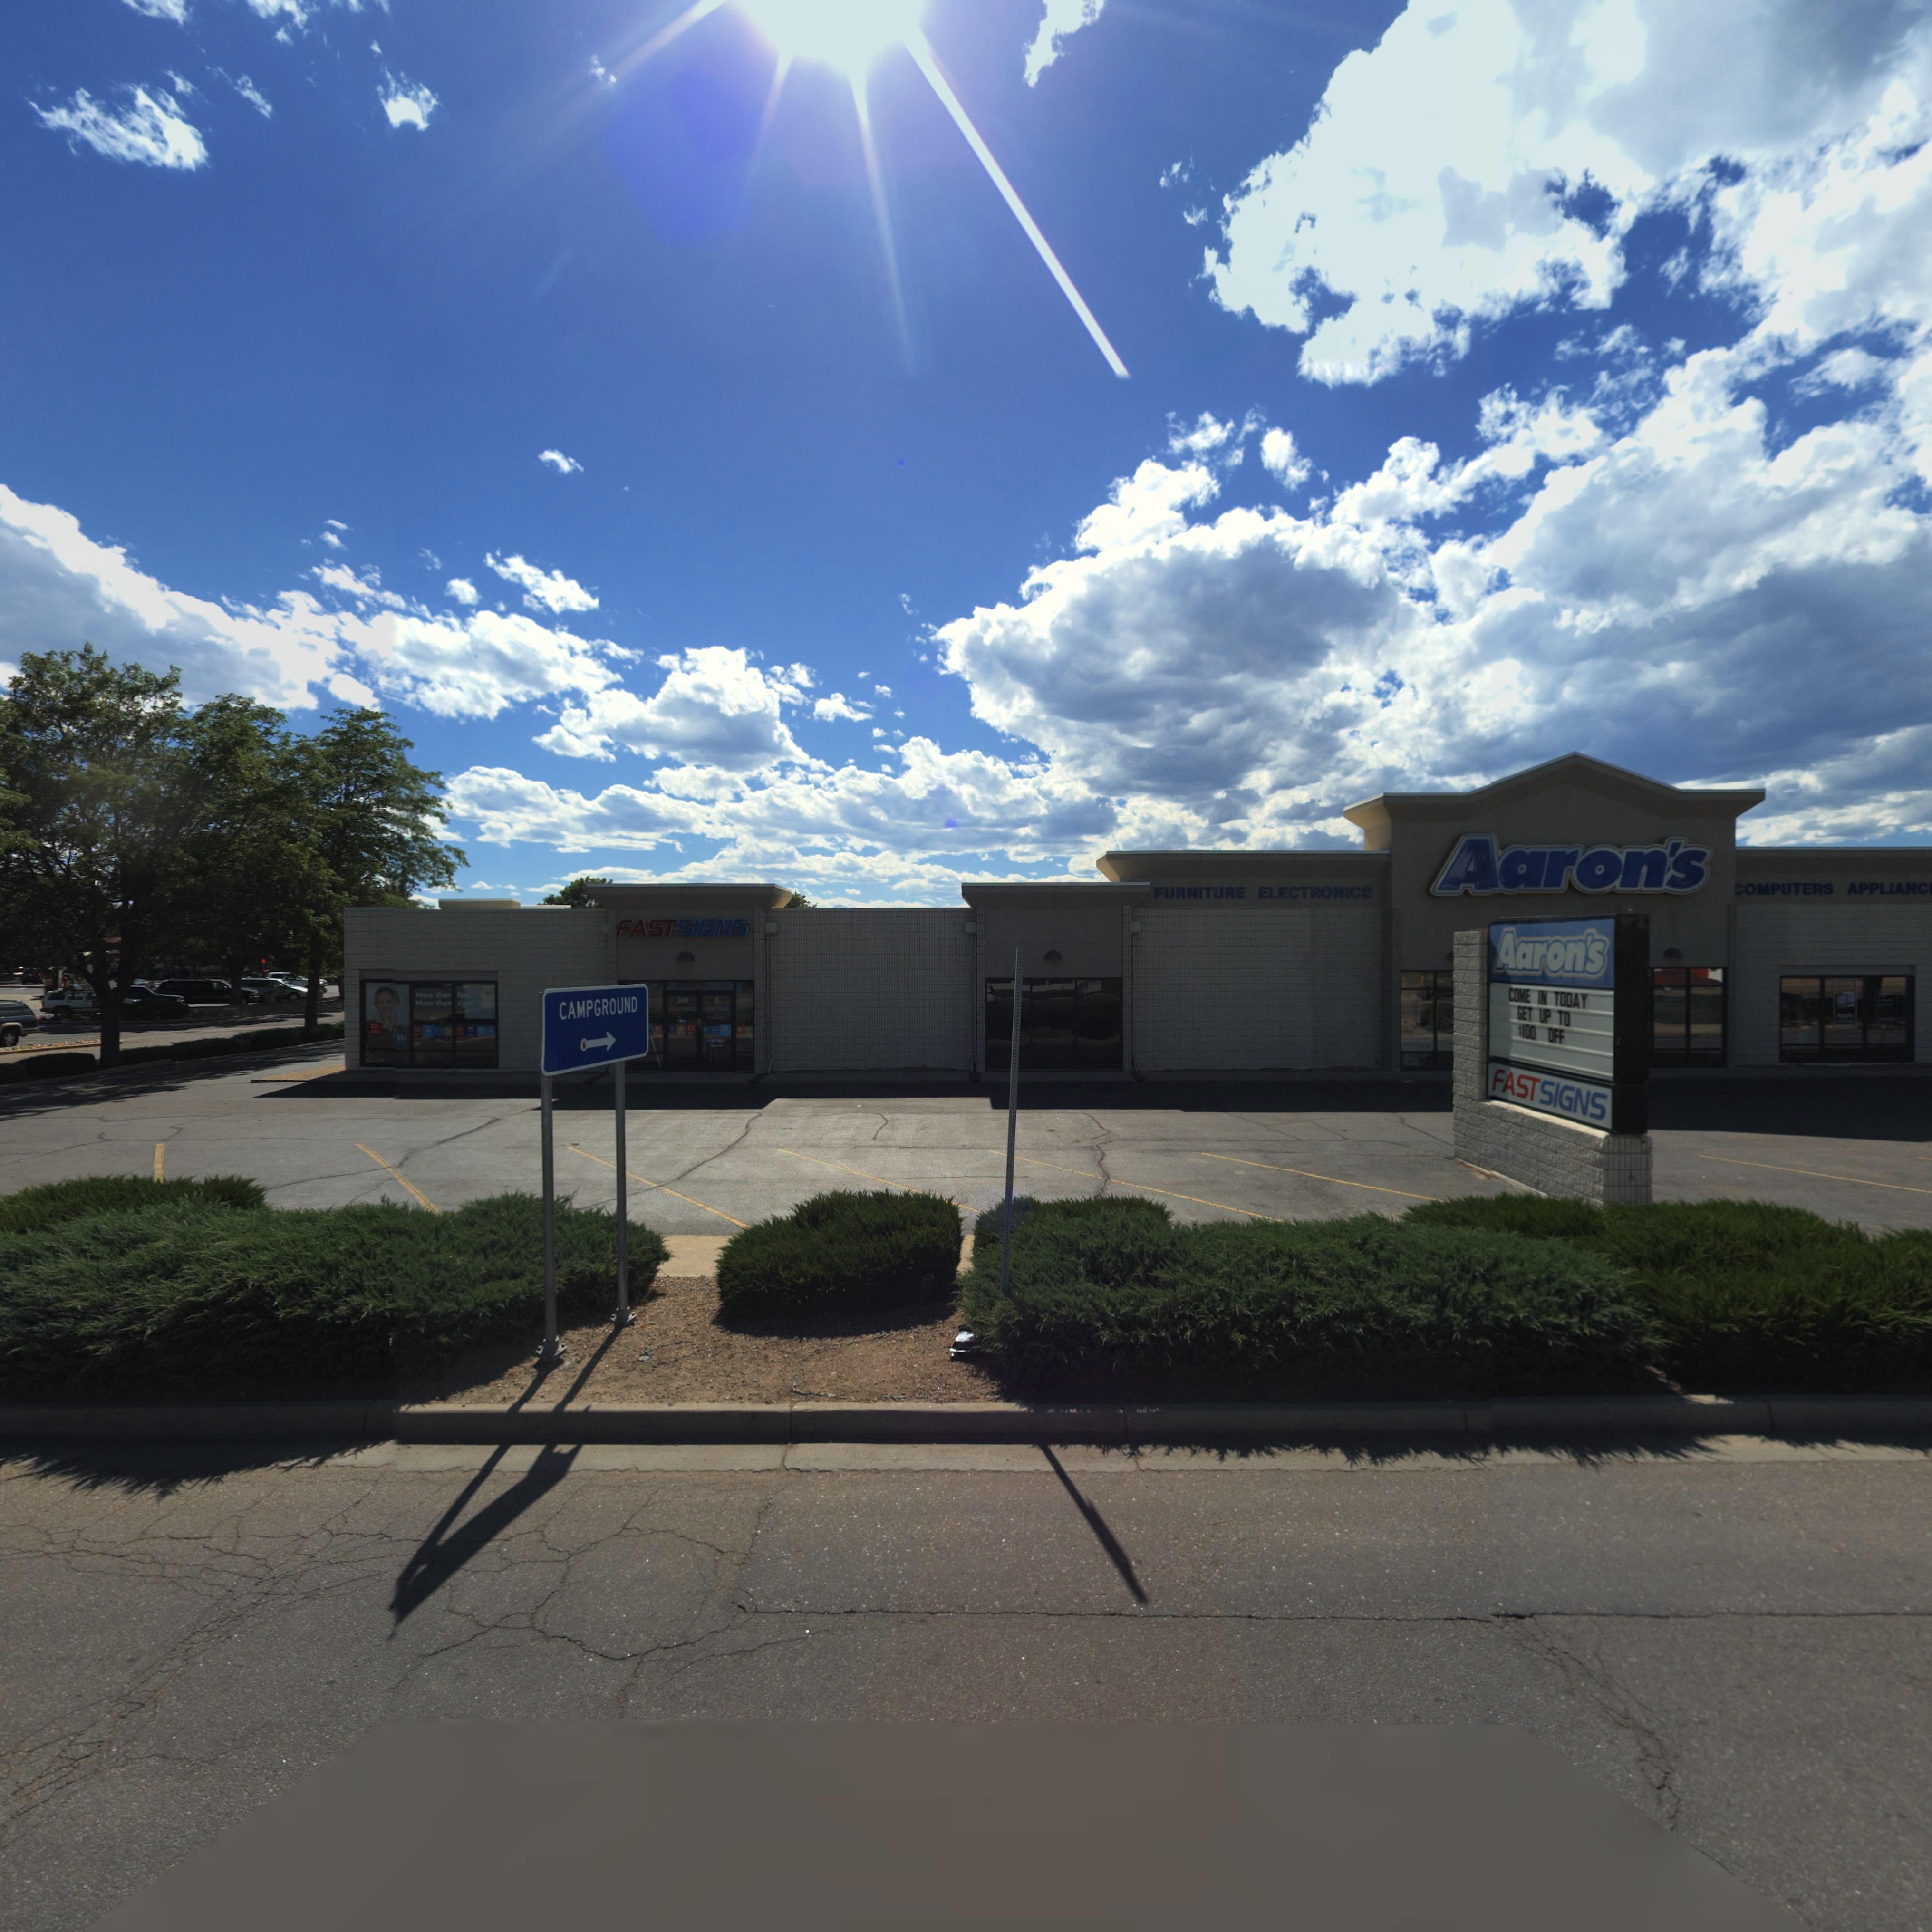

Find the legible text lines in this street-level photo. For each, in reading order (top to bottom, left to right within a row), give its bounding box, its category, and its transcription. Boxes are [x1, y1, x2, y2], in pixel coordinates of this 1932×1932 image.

[1434, 837, 1710, 891] BusinessName: Aaron's
[614, 918, 750, 937] BusinessName: FASTSIGNS
[1490, 929, 1609, 976] BusinessName: Aaron's
[676, 996, 689, 1004] StreetNumber: 203
[715, 996, 719, 1003] BusinessName: B
[1491, 1067, 1609, 1121] BusinessName: FASTSIGNS